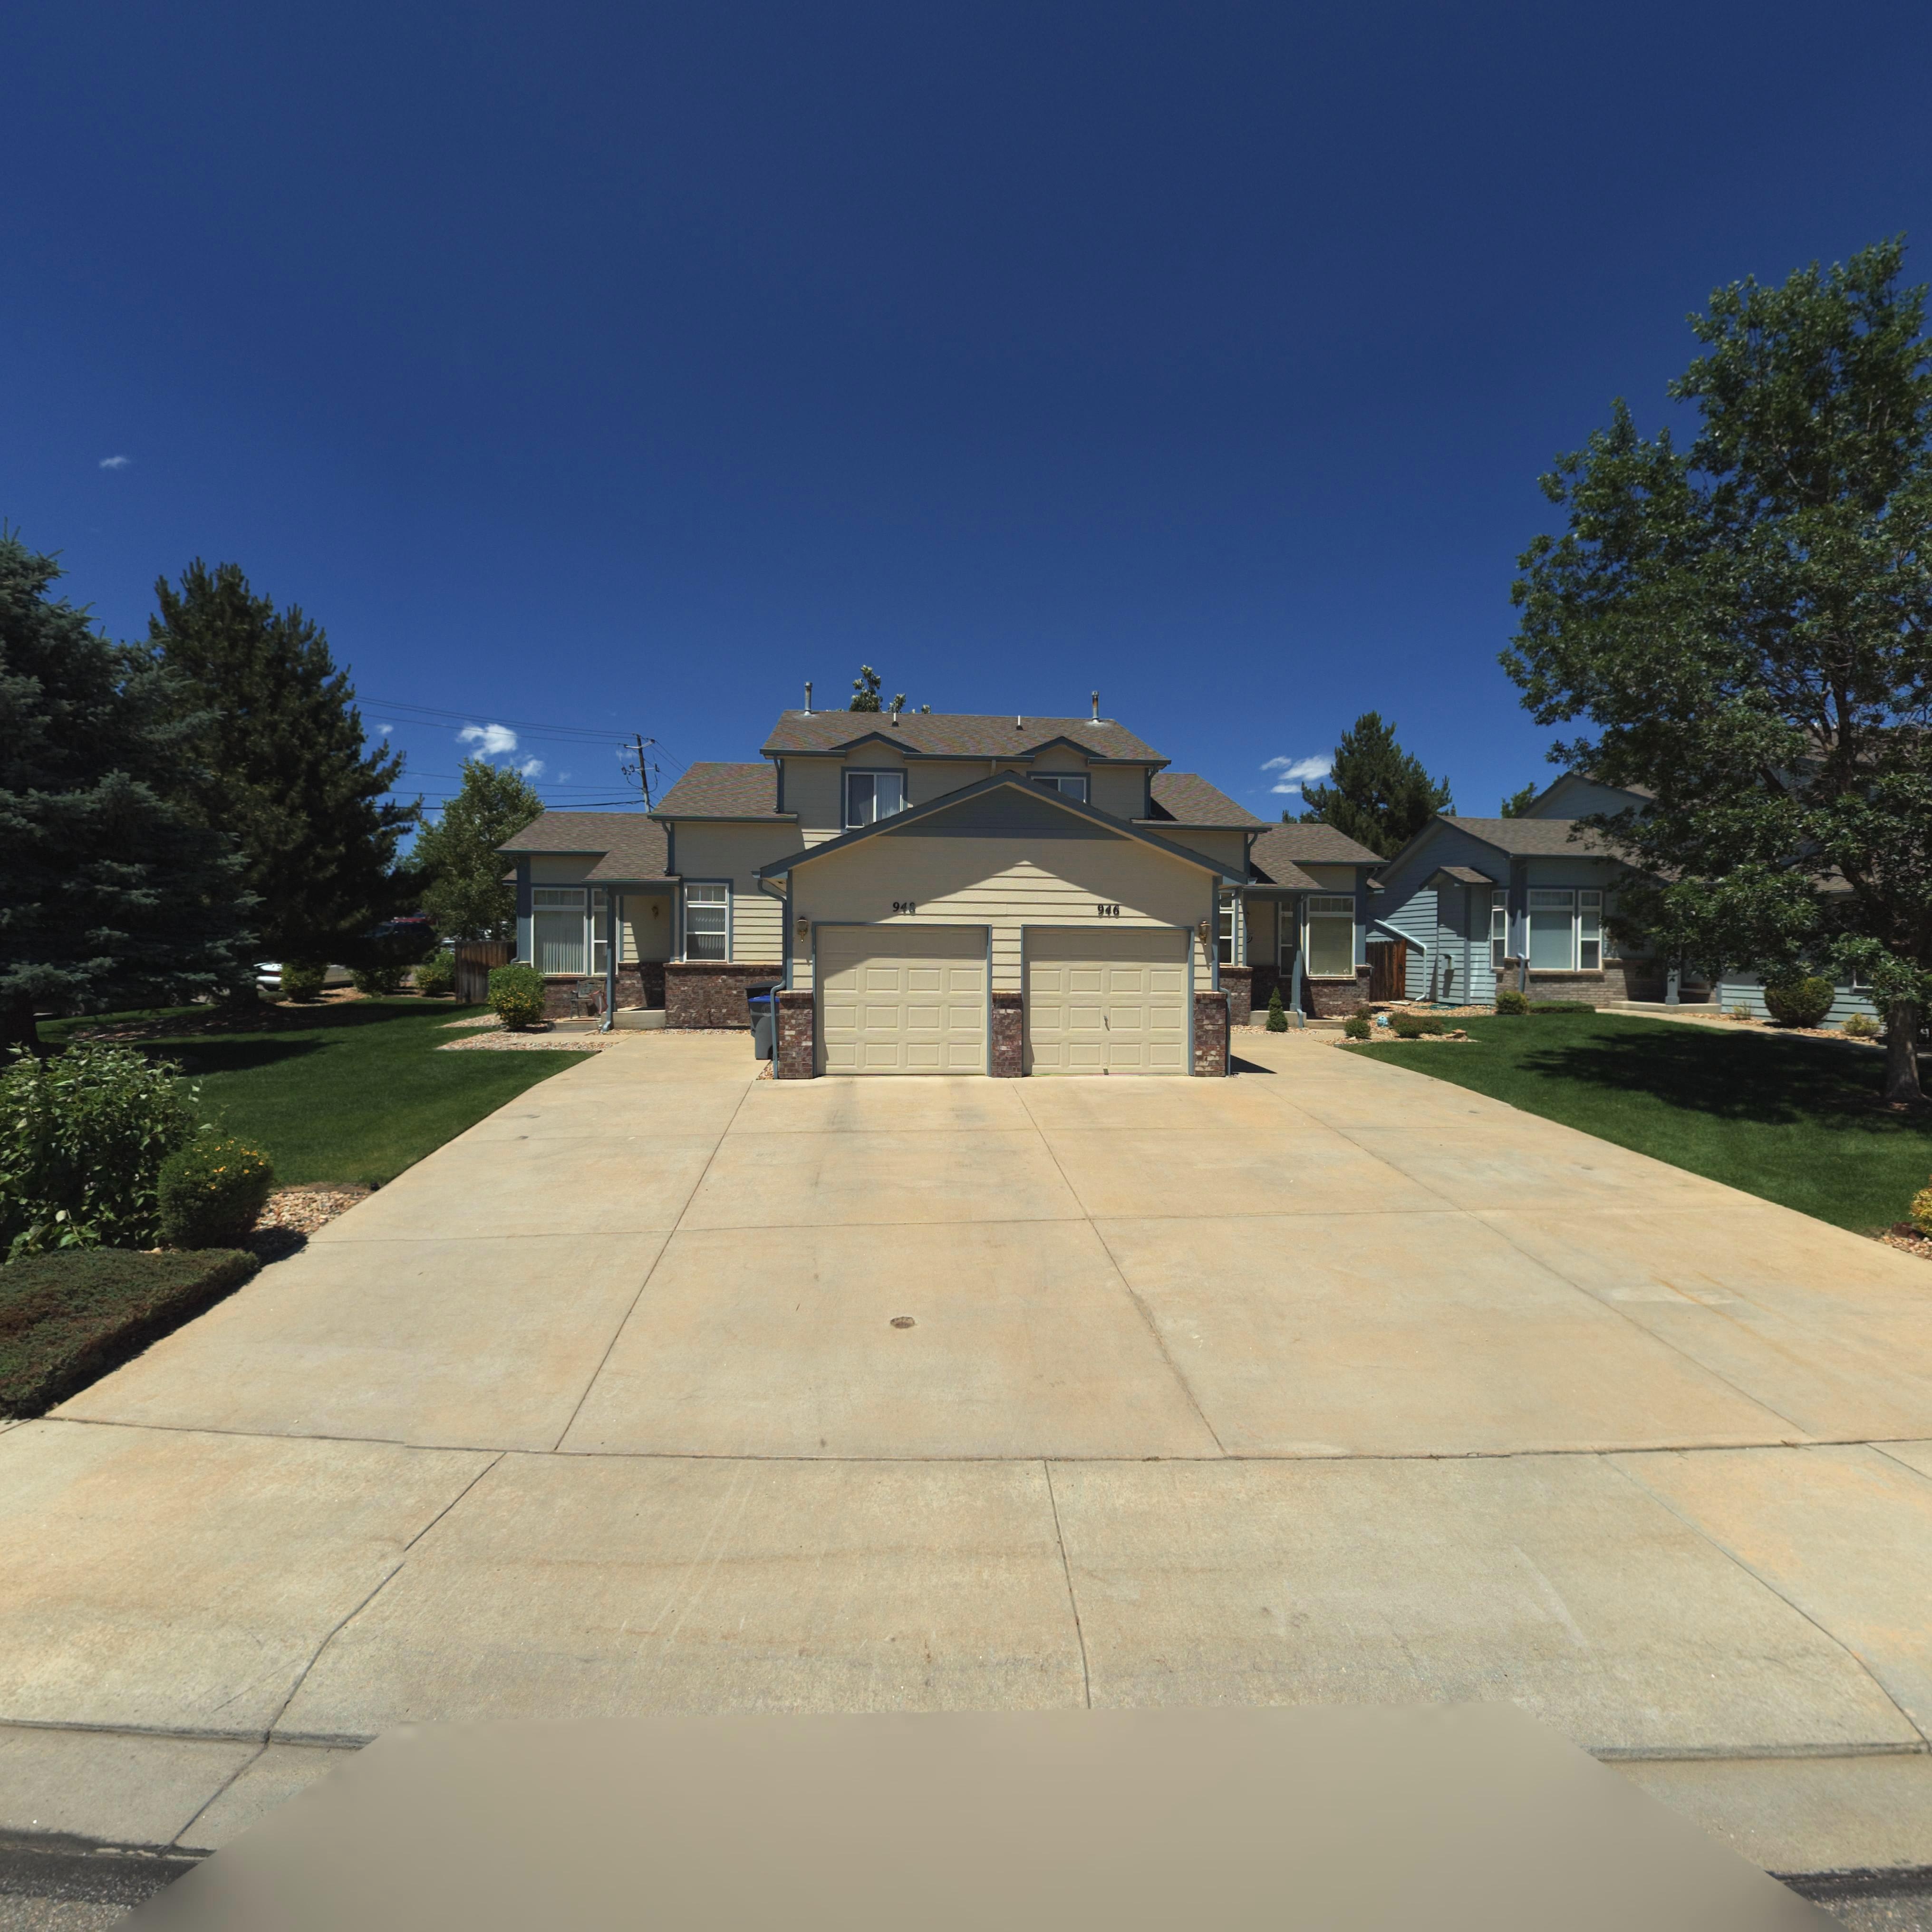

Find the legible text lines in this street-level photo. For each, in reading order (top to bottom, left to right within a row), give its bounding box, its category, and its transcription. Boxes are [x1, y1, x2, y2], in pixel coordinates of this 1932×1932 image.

[892, 901, 916, 912] StreetNumber: 948
[1097, 904, 1119, 915] StreetNumber: 946